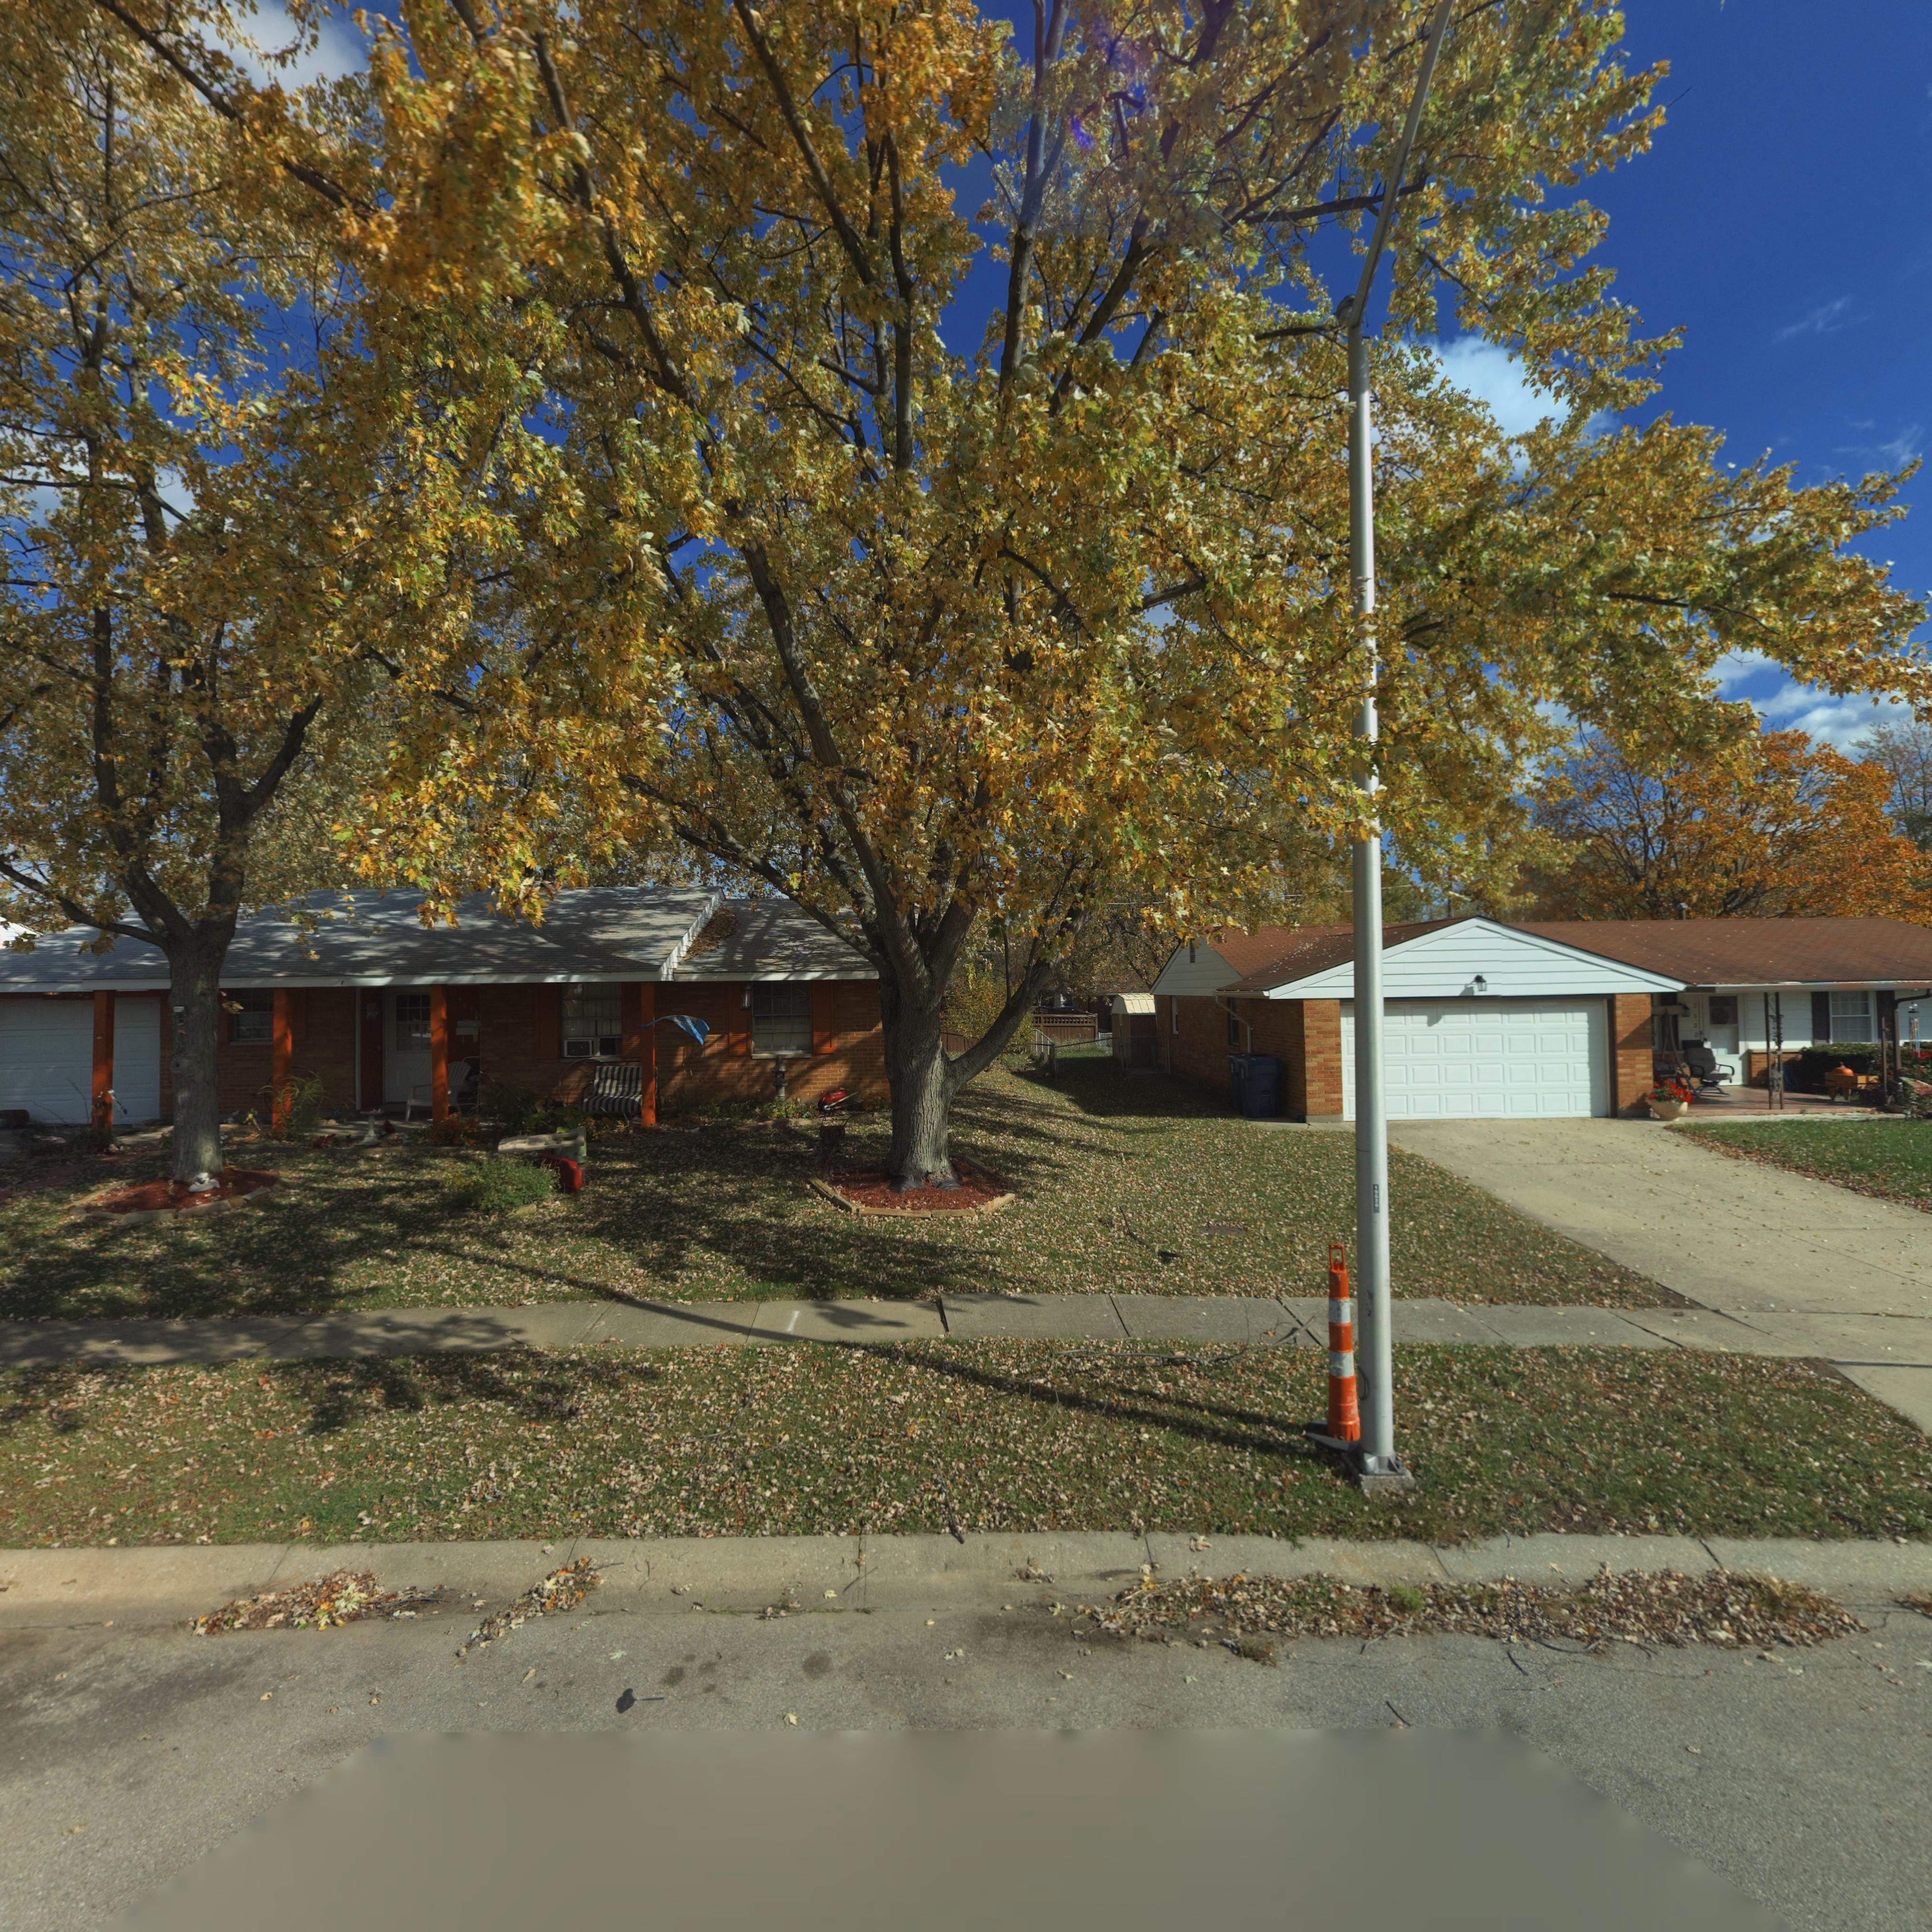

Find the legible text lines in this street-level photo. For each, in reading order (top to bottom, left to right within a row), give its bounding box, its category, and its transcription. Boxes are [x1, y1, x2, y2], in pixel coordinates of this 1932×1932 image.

[457, 997, 479, 1017] StreetNumber: 7630
[1692, 1002, 1699, 1038] StreetNumber: 7600